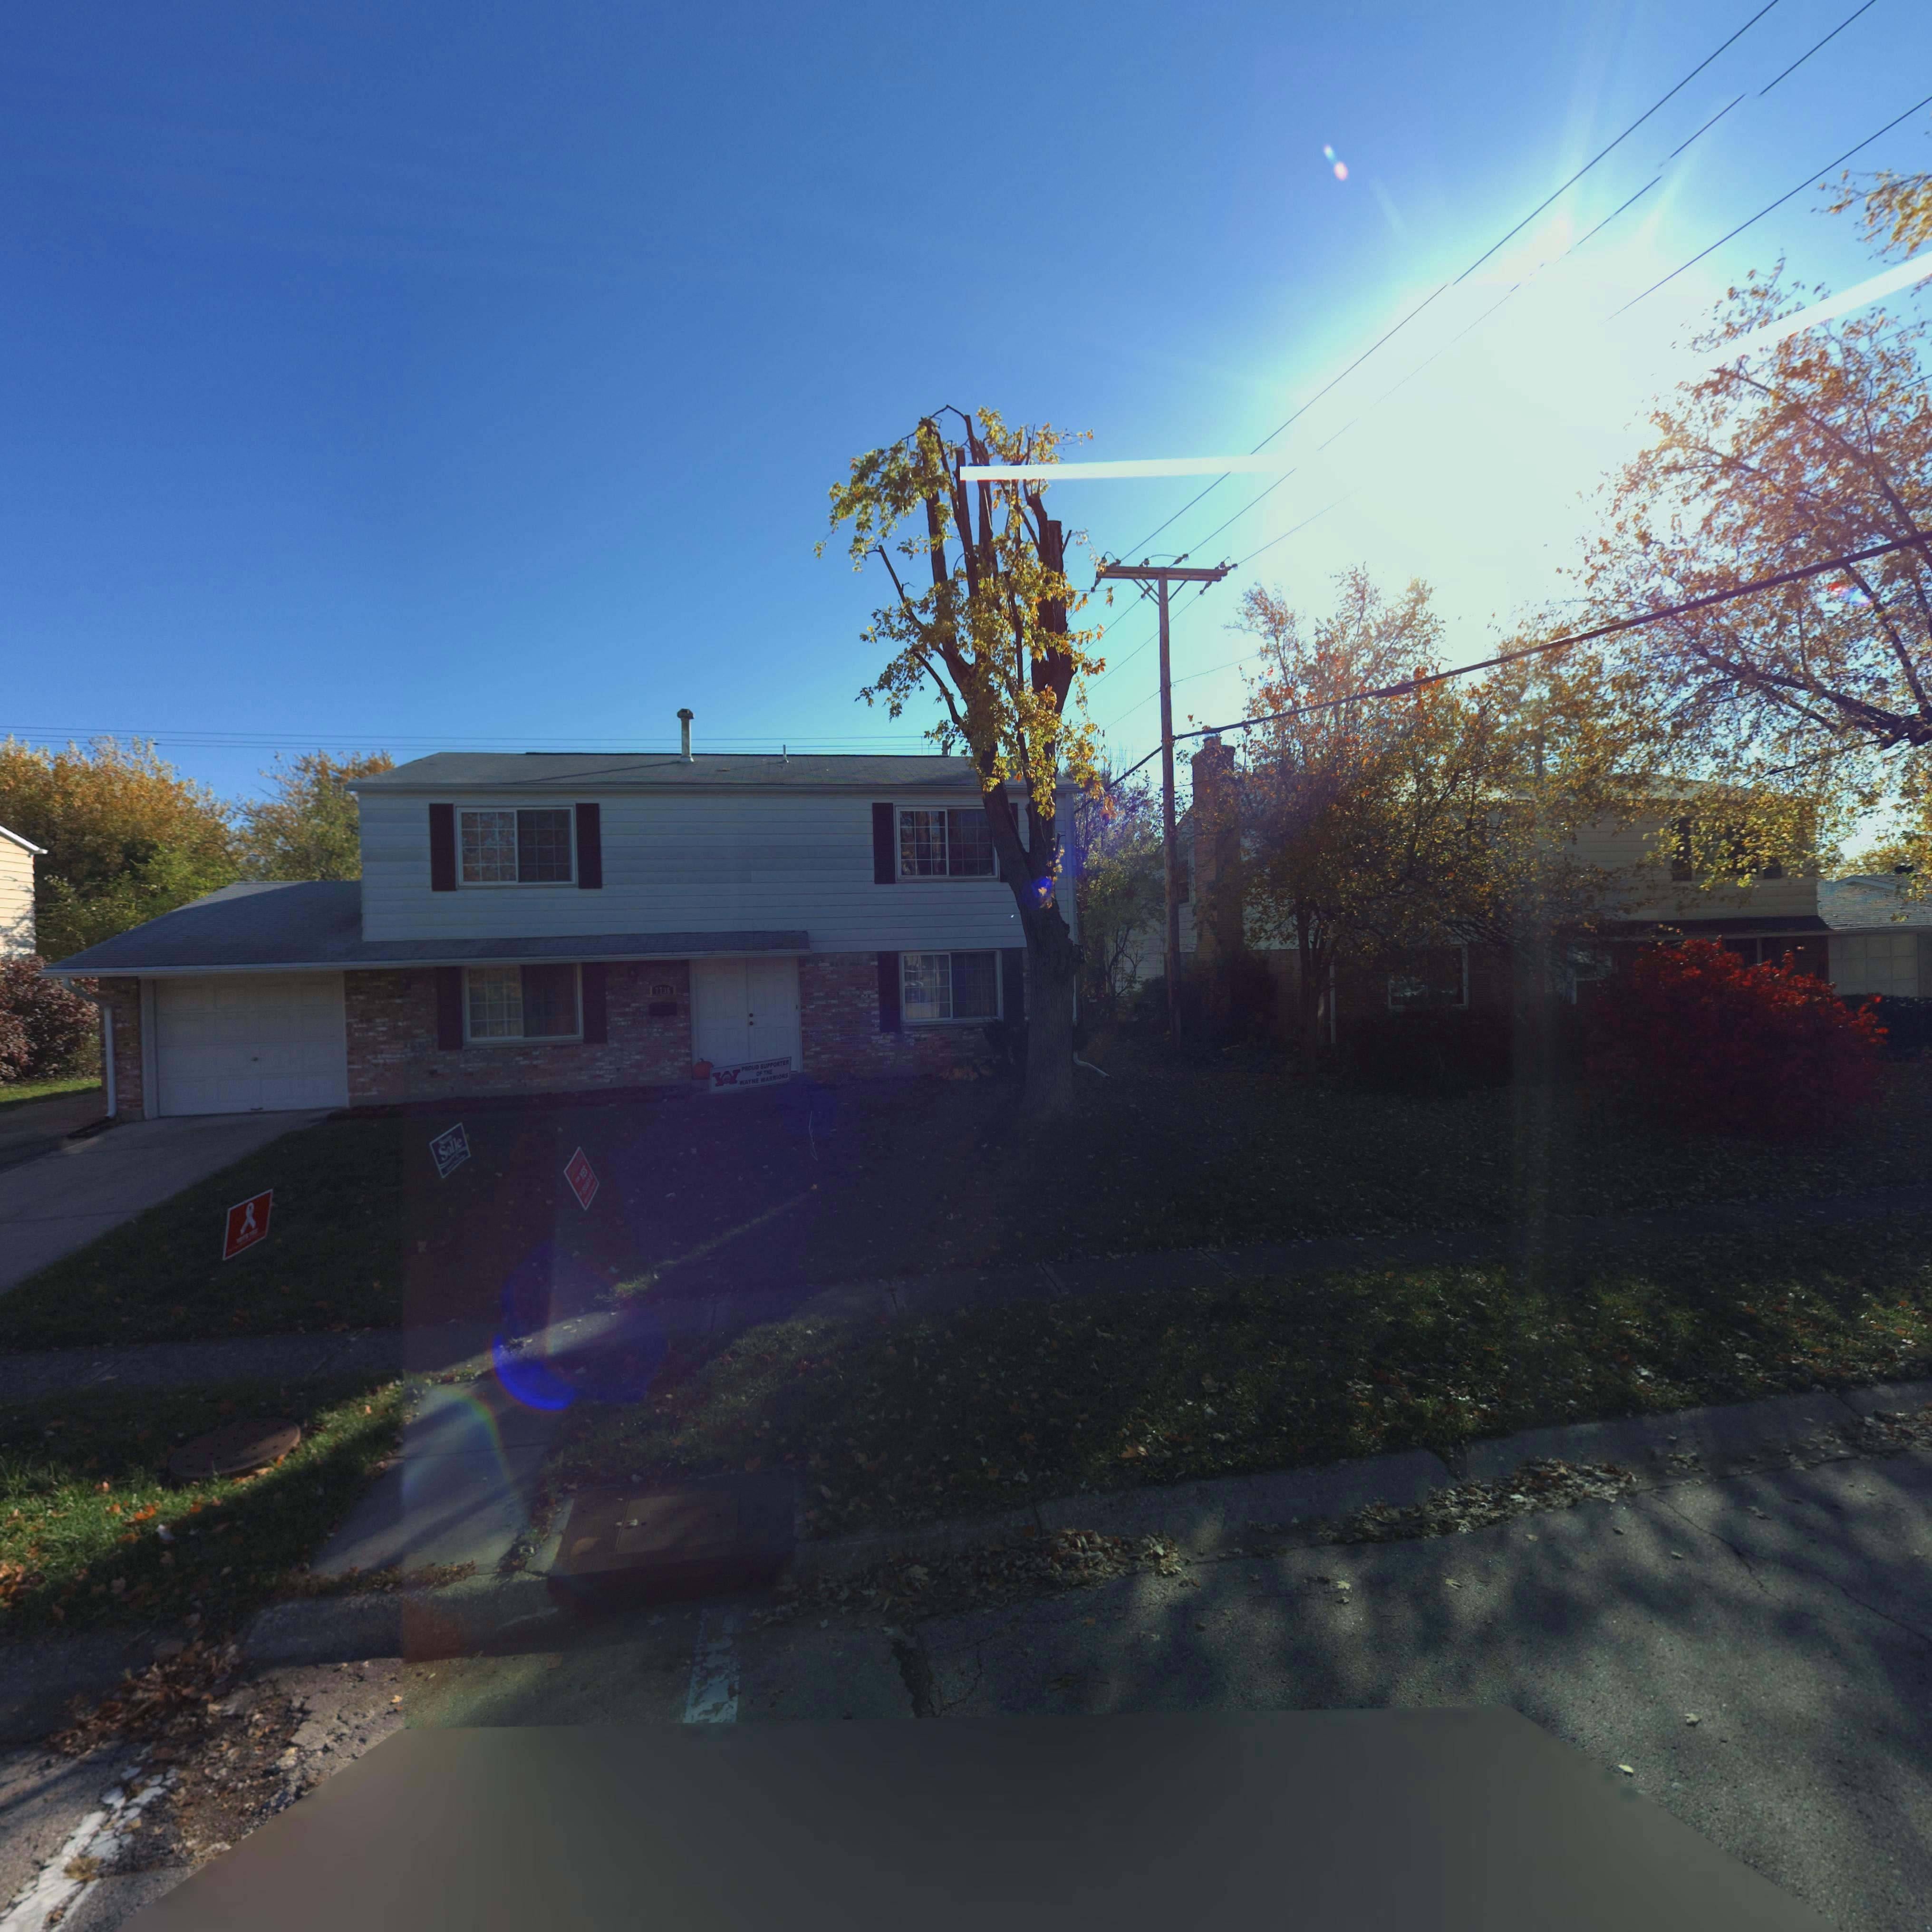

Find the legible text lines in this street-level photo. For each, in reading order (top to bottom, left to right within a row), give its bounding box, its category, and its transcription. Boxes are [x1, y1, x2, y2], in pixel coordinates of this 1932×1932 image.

[653, 985, 672, 995] StreetNumber: 7736